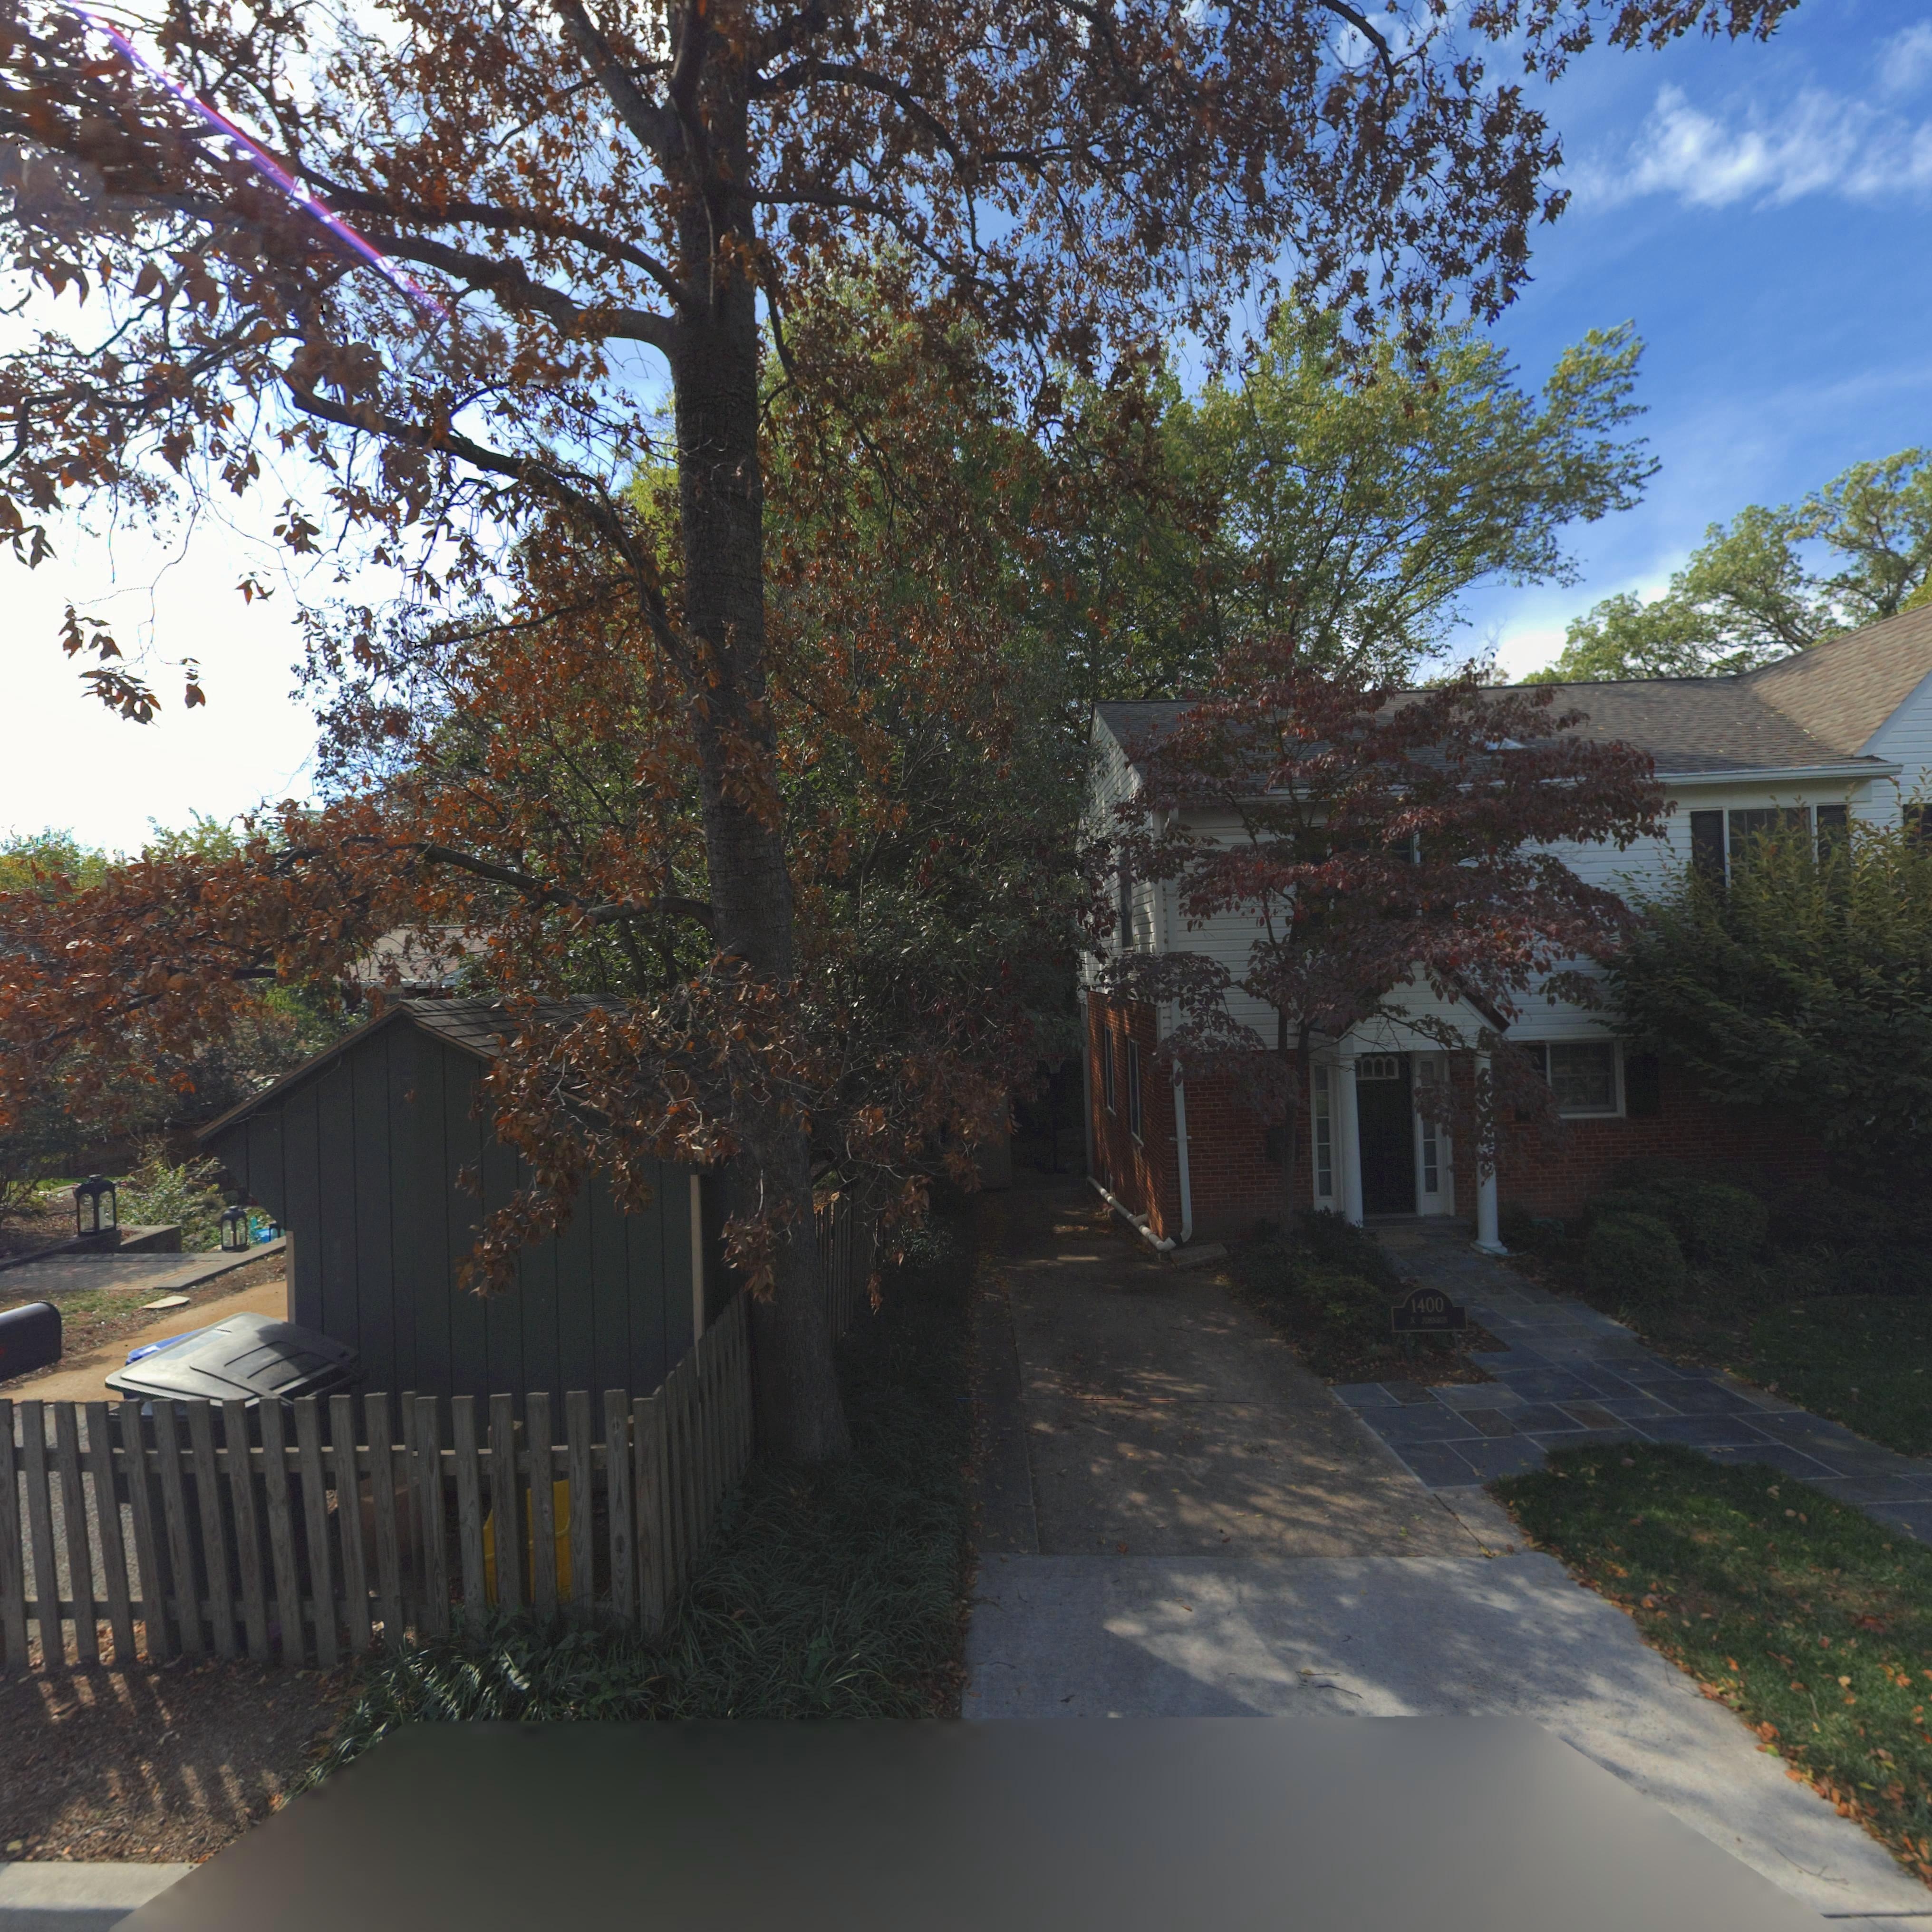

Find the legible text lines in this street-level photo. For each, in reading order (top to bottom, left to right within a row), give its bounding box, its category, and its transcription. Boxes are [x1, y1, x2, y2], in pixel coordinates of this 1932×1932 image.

[1409, 1295, 1446, 1315] StreetNumber: 1400